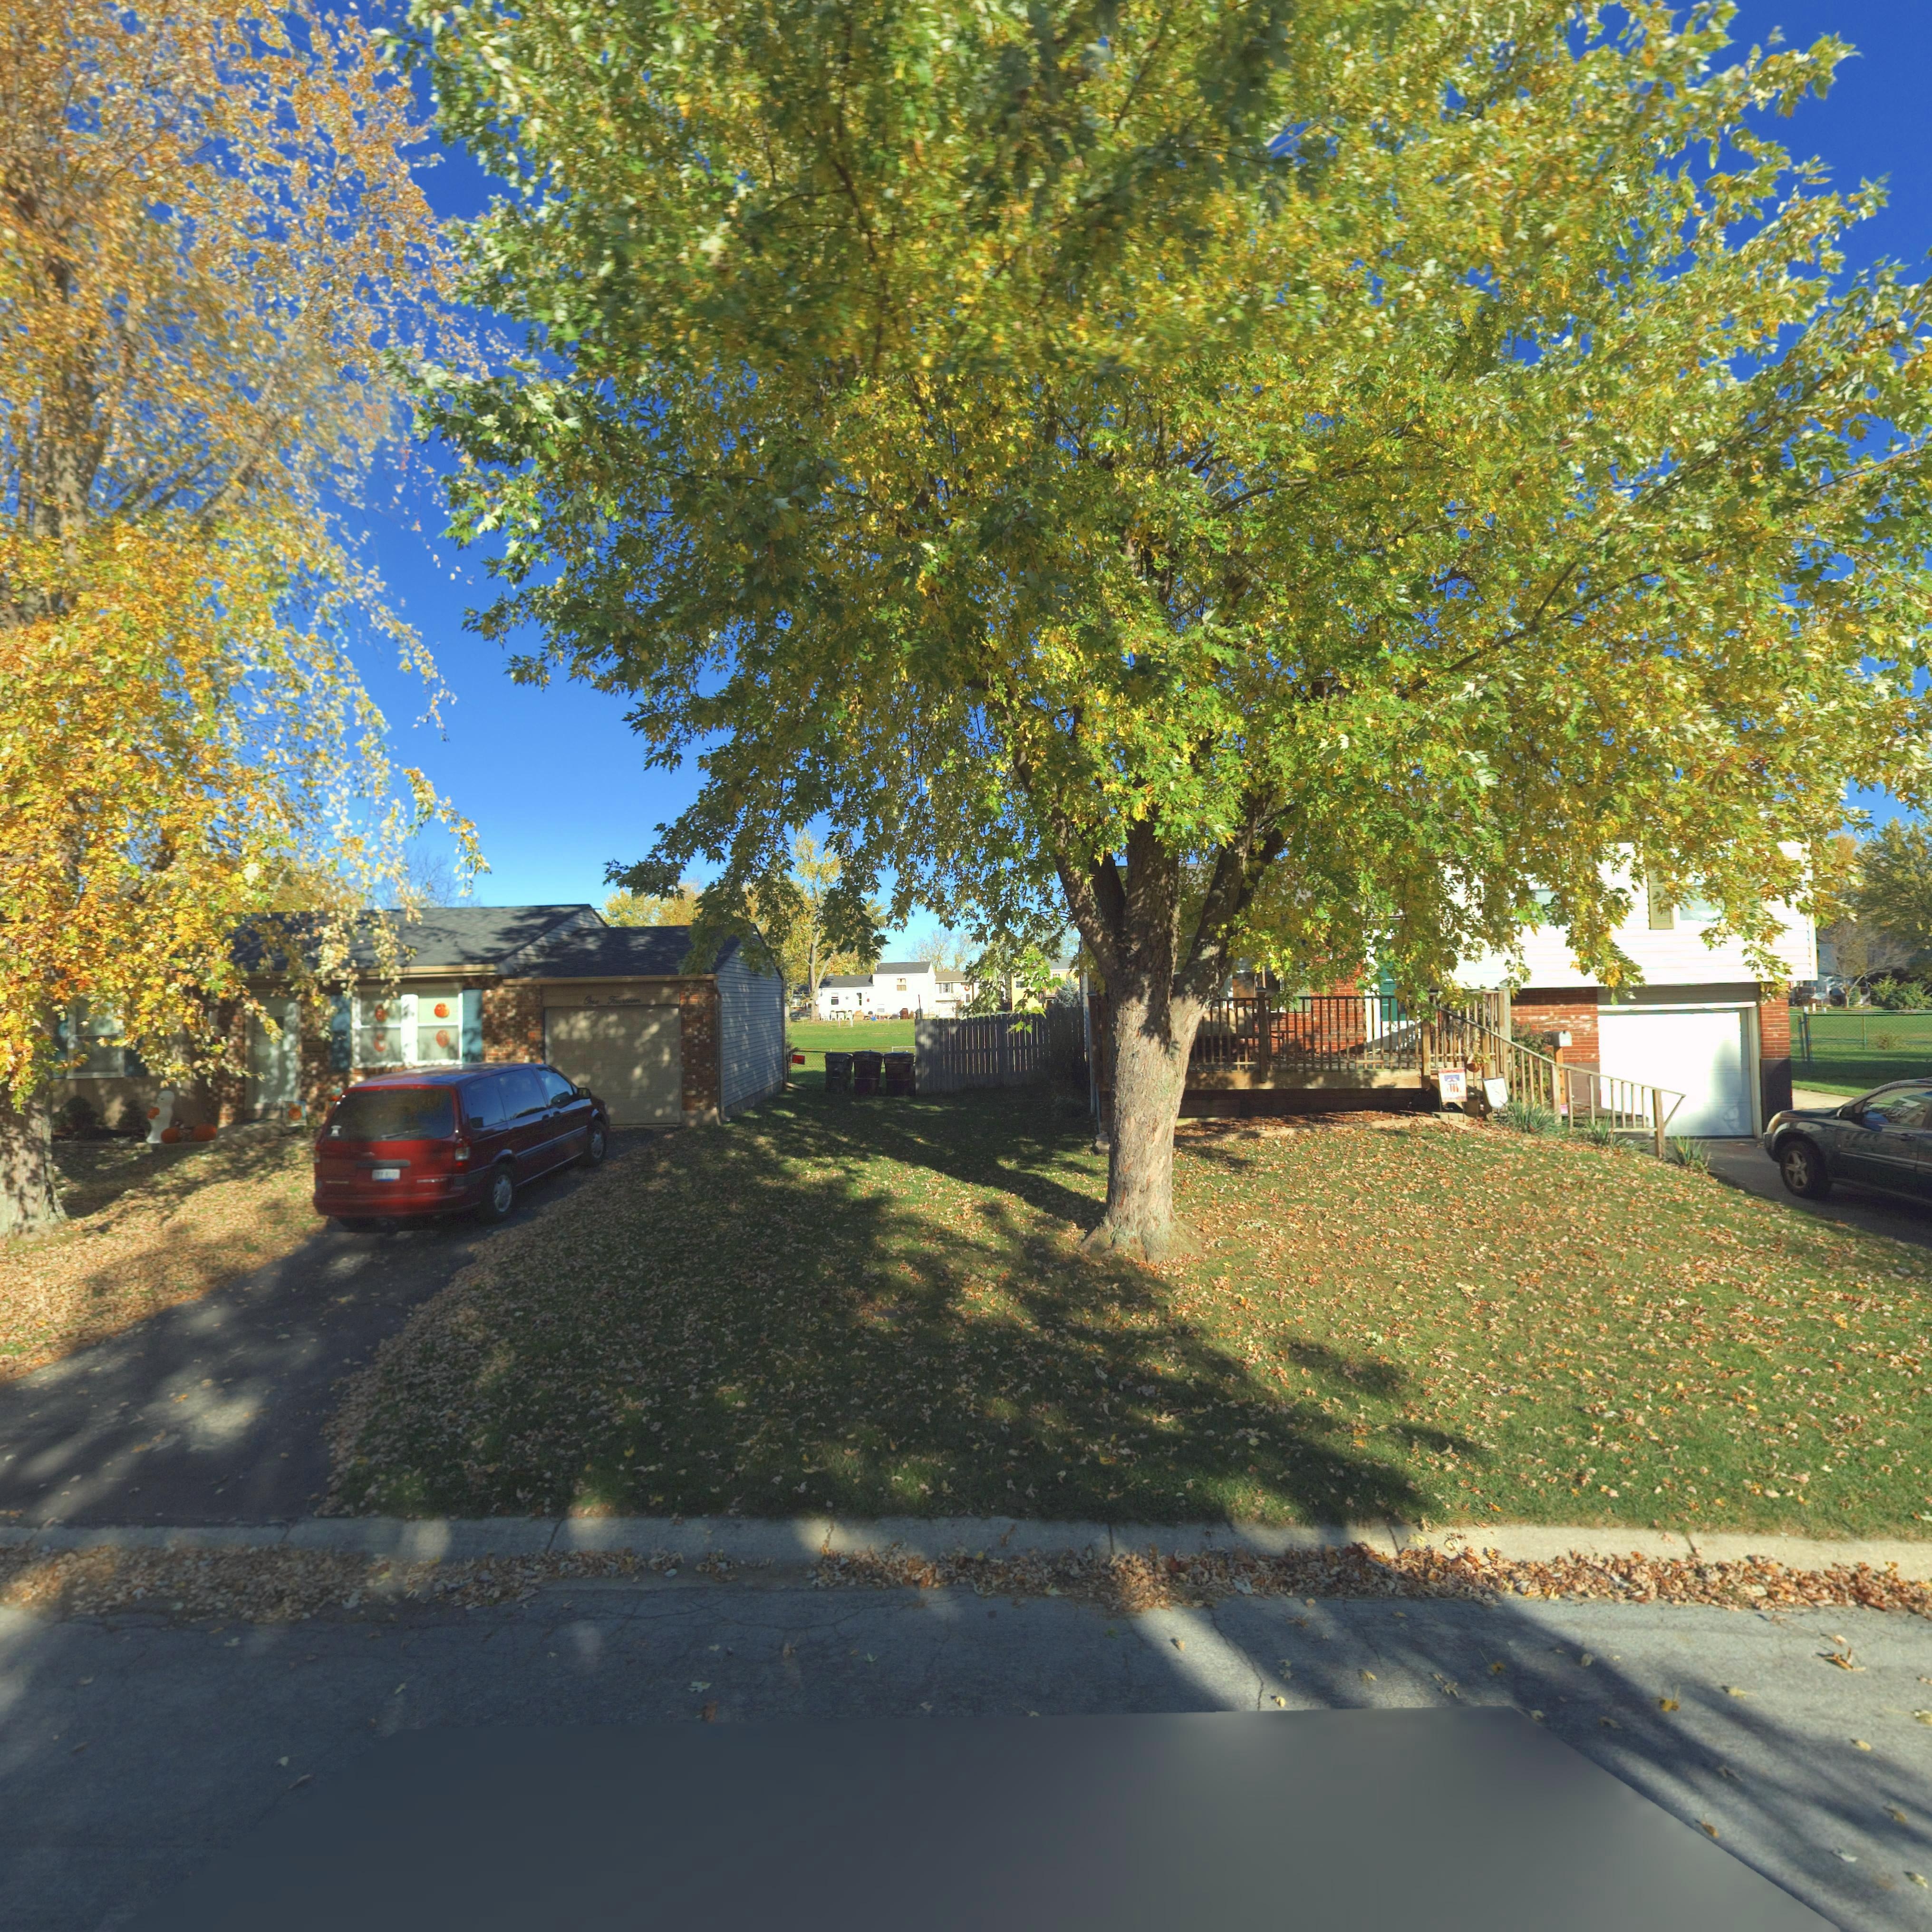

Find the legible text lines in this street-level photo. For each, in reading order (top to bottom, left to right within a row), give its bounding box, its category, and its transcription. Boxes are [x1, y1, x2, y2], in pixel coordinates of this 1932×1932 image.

[583, 995, 643, 1005] StreetNumber: One Fourteen